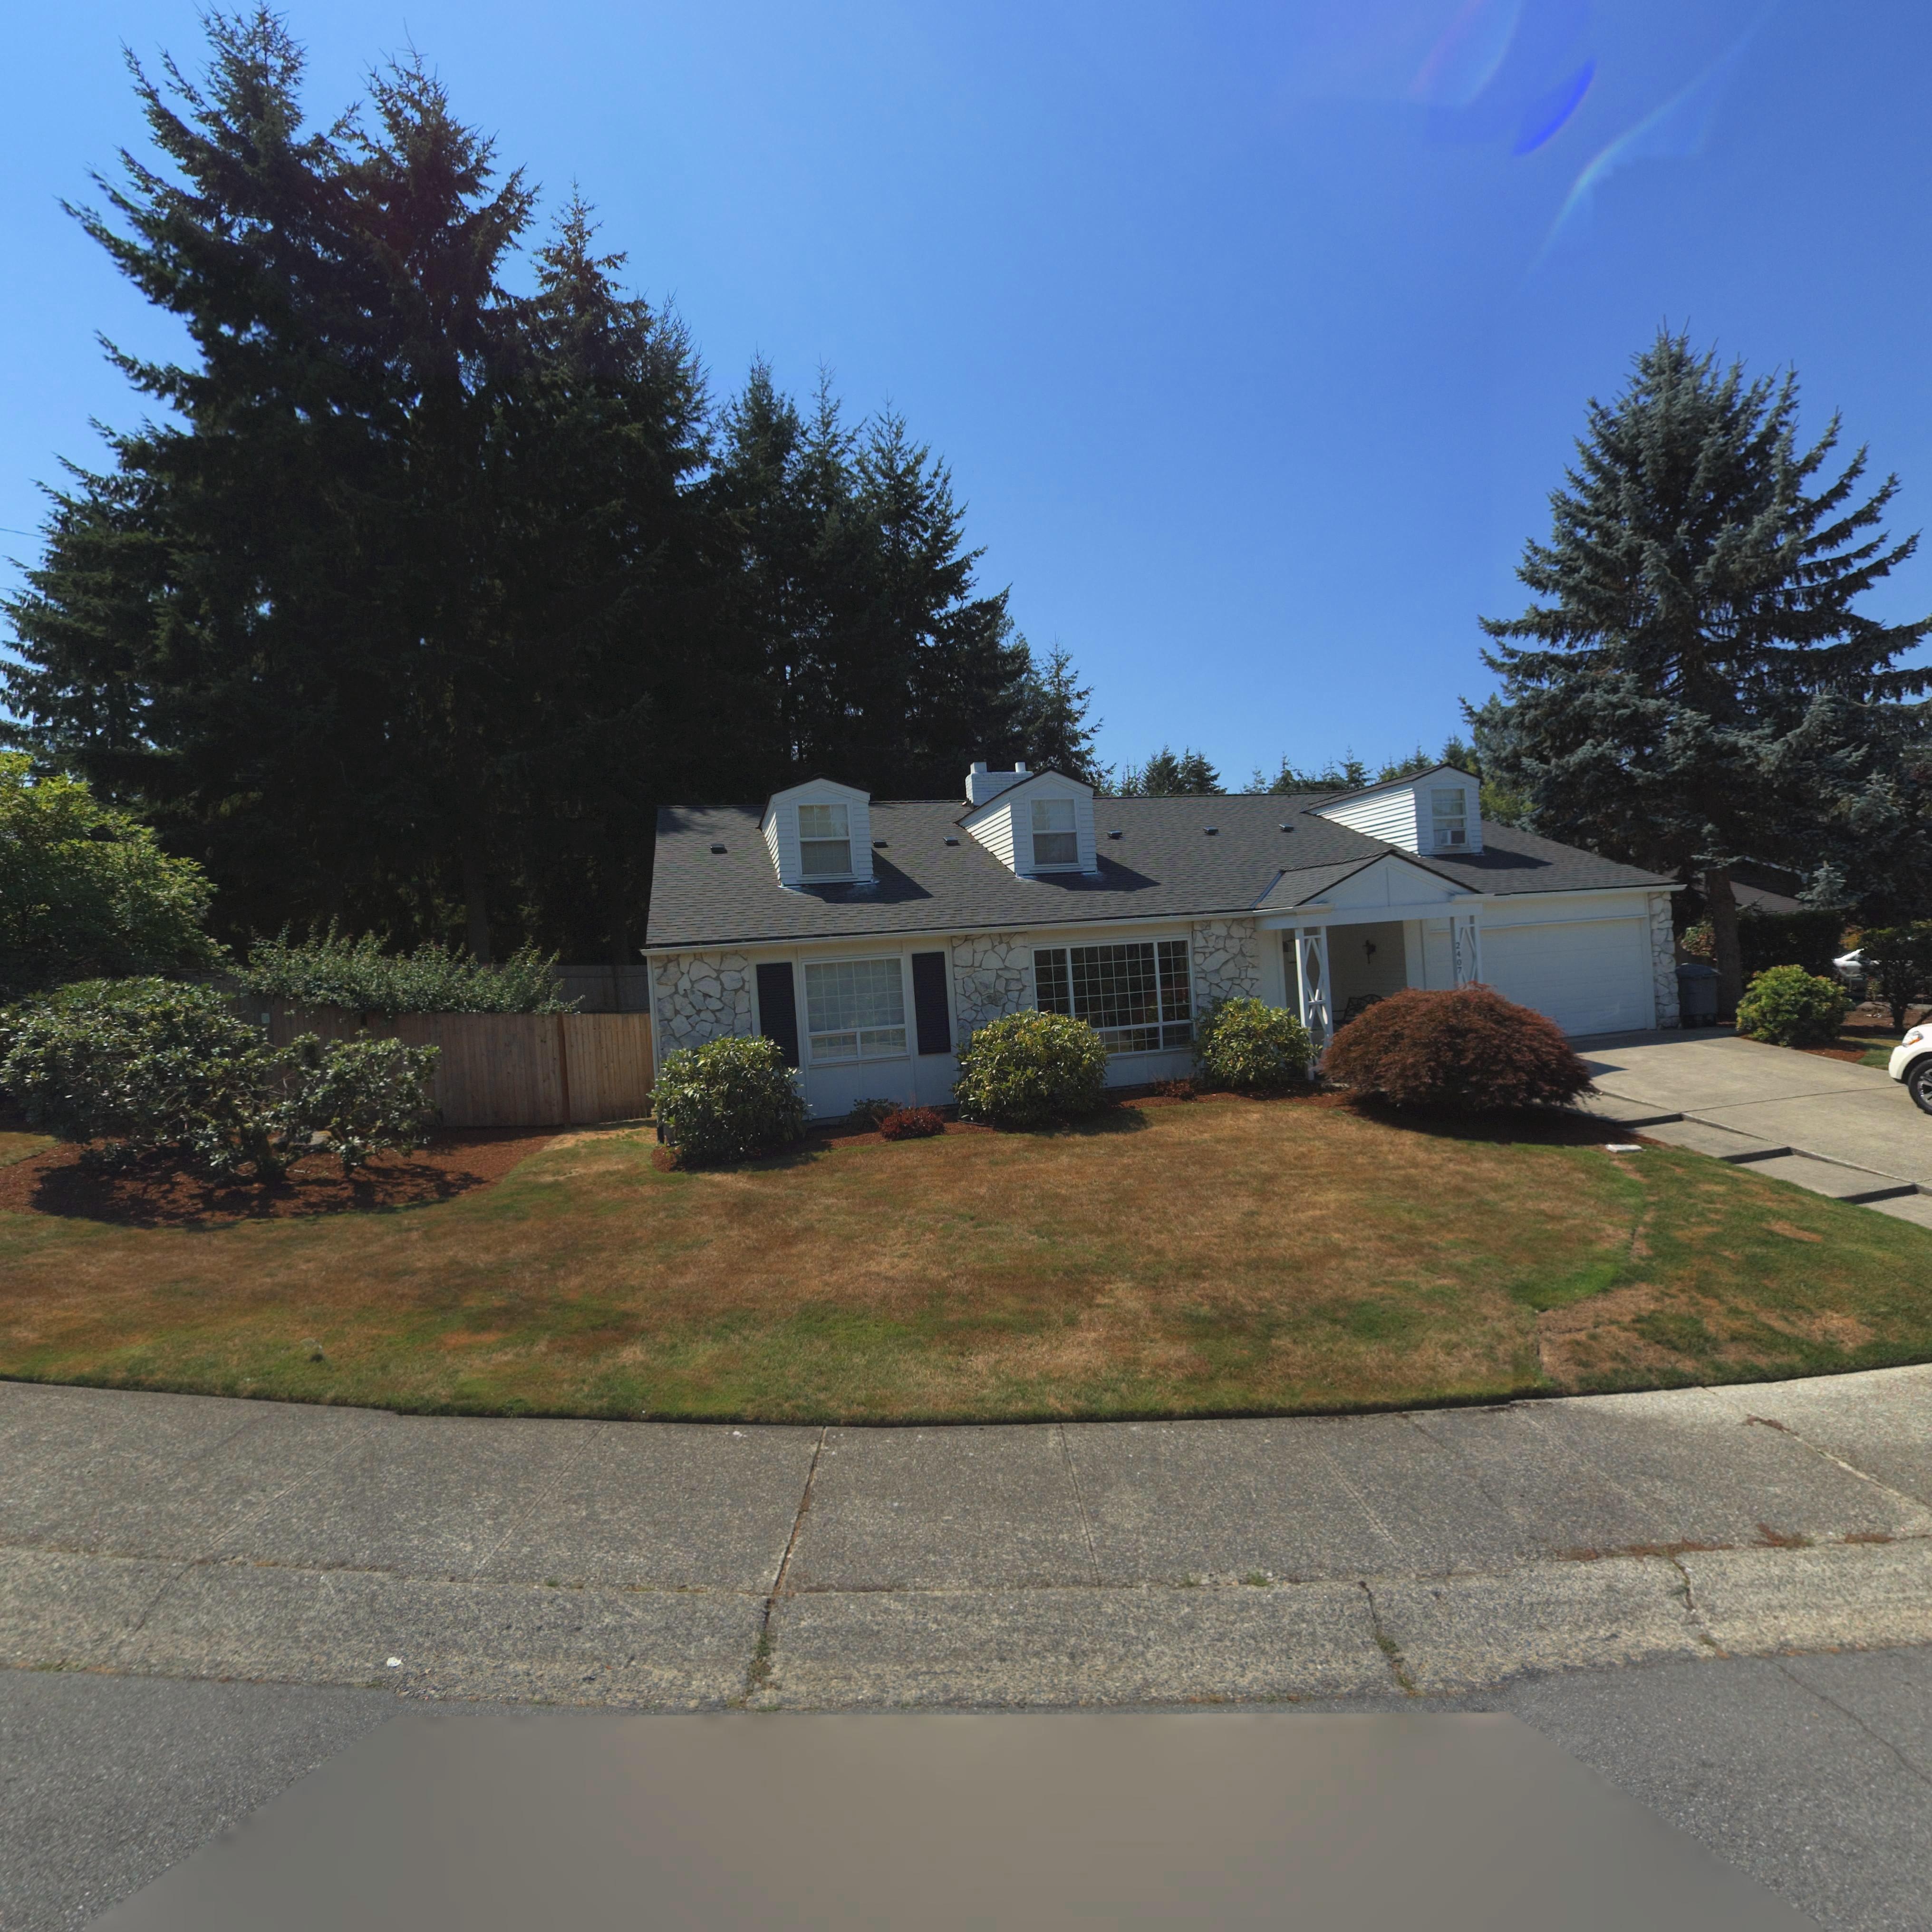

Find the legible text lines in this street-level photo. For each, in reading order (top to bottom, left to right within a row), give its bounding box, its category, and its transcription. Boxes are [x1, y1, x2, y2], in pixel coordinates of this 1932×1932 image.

[1456, 942, 1462, 974] StreetNumber: 2407